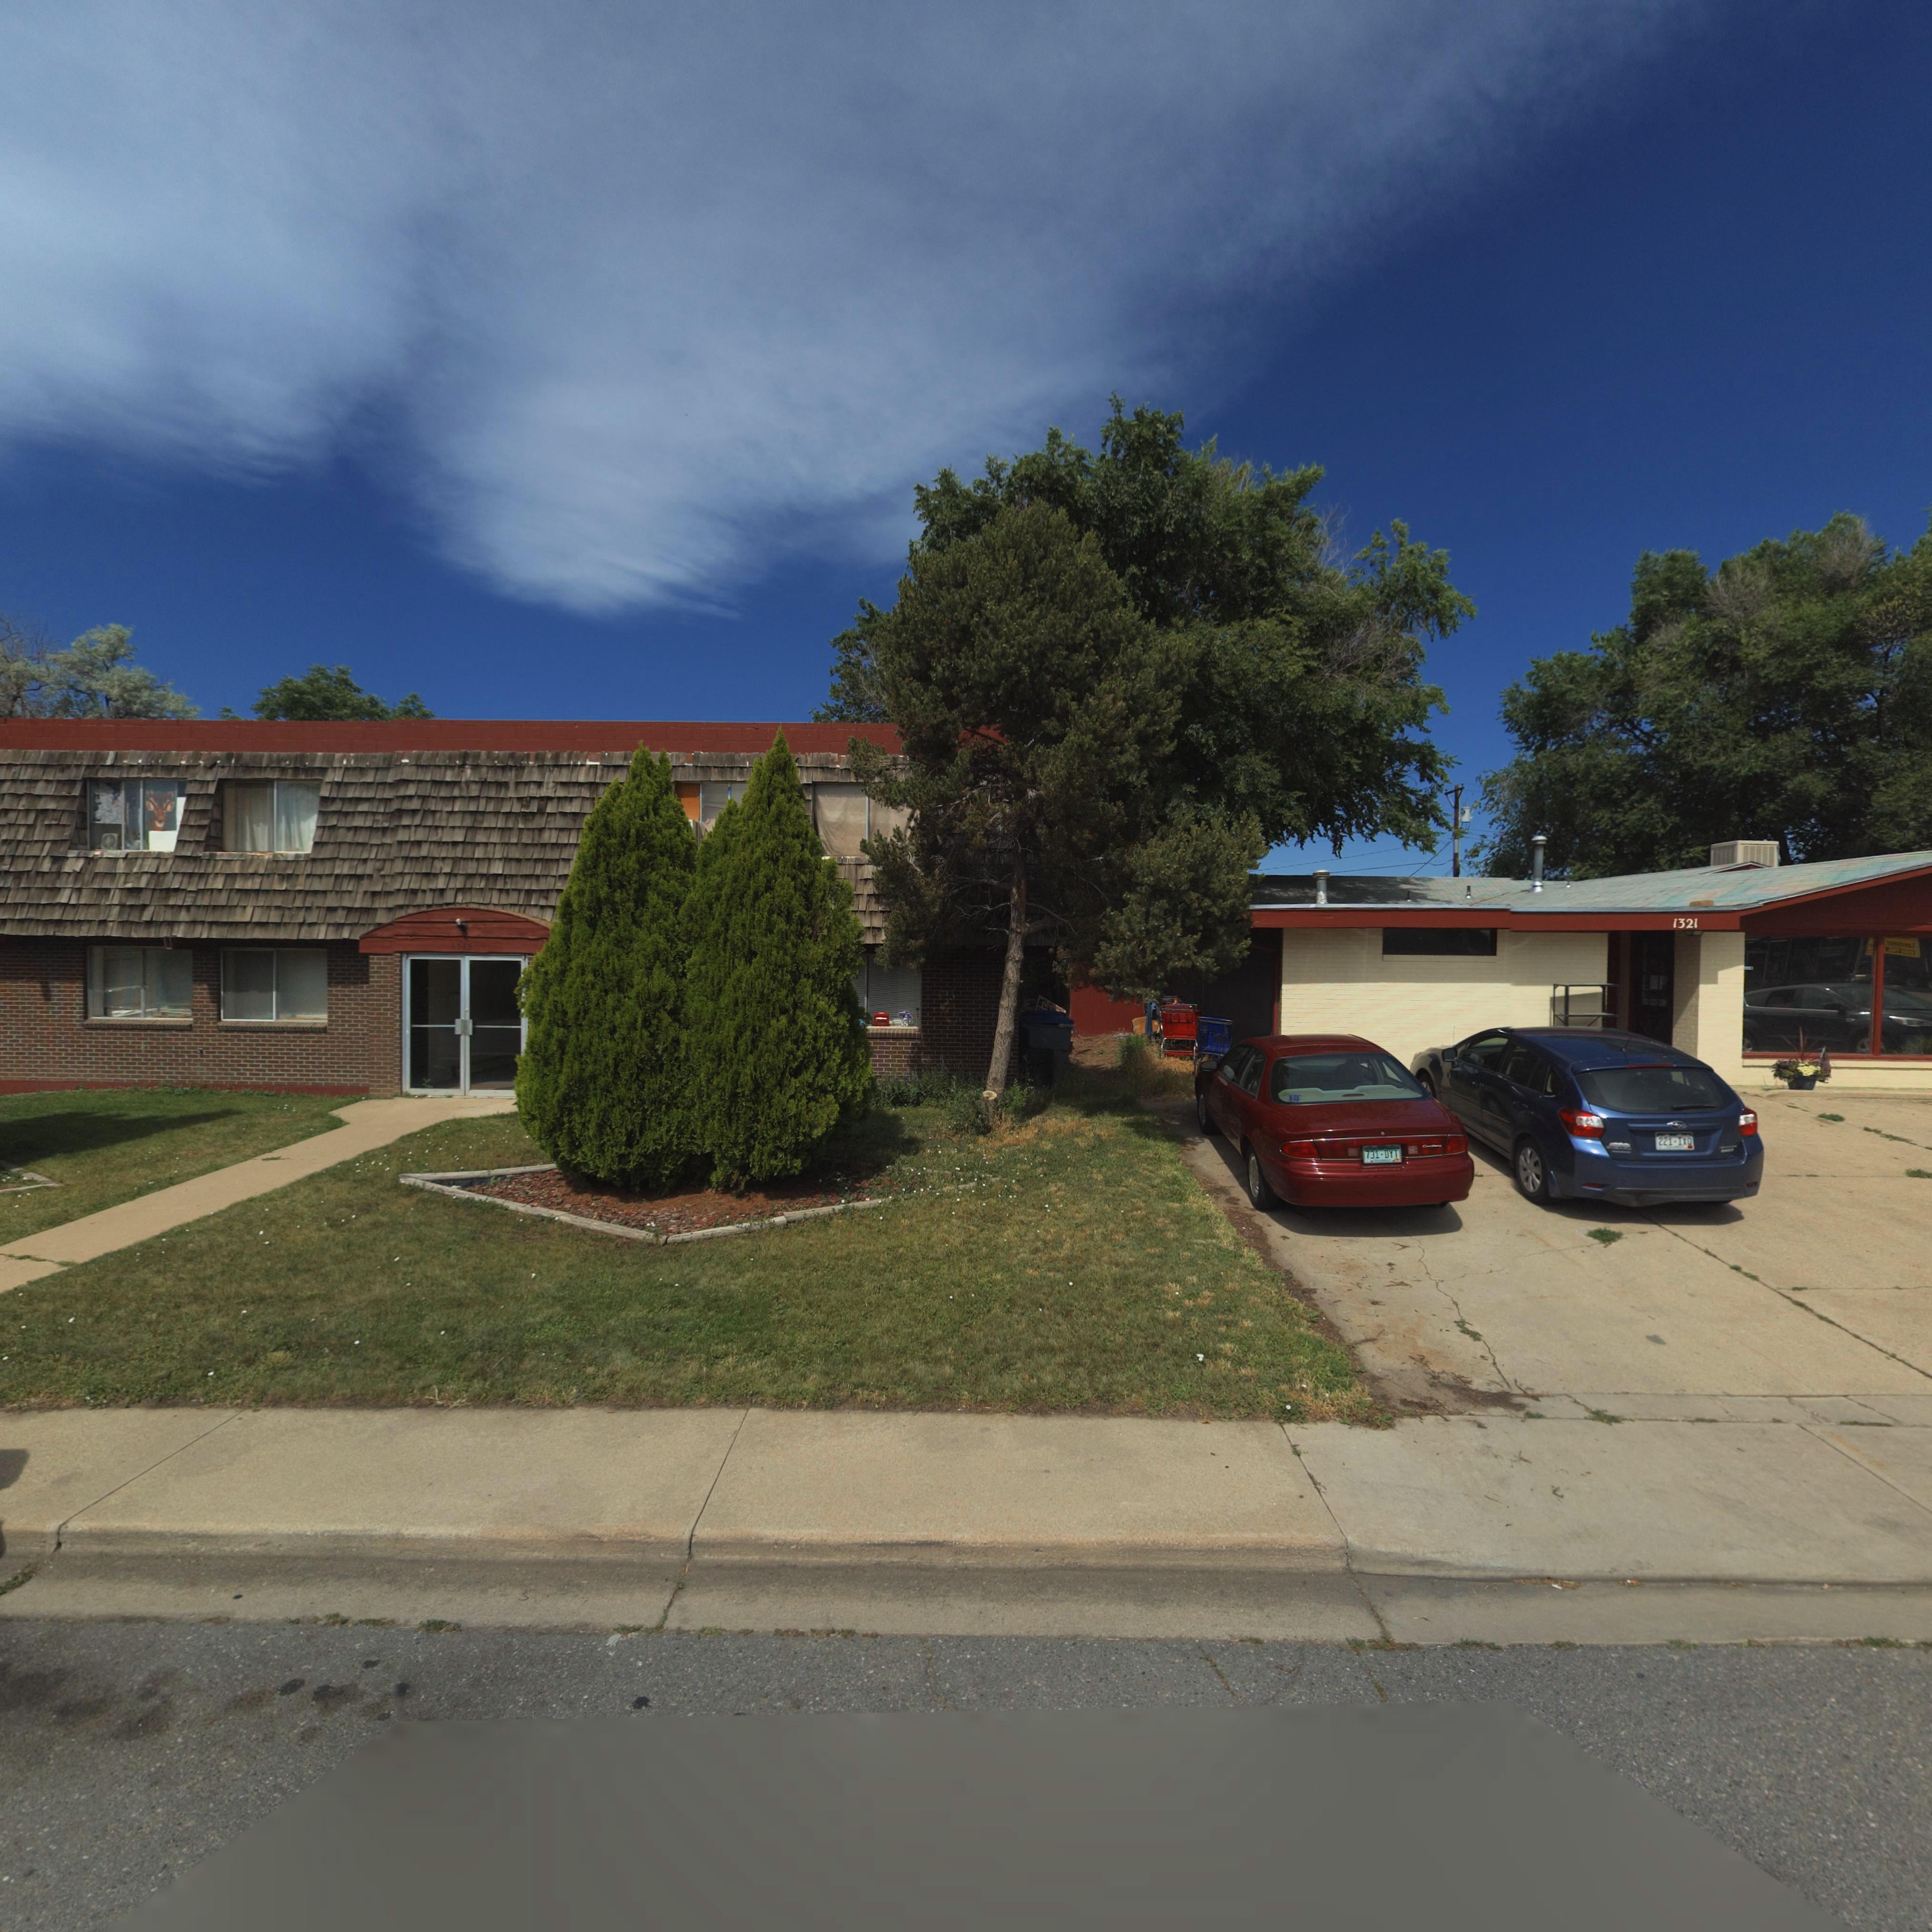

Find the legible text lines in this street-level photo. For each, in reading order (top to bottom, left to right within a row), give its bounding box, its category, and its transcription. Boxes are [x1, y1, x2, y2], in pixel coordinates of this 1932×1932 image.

[1672, 918, 1699, 928] StreetNumber: 1321
[451, 942, 472, 950] StreetNumber: 1315